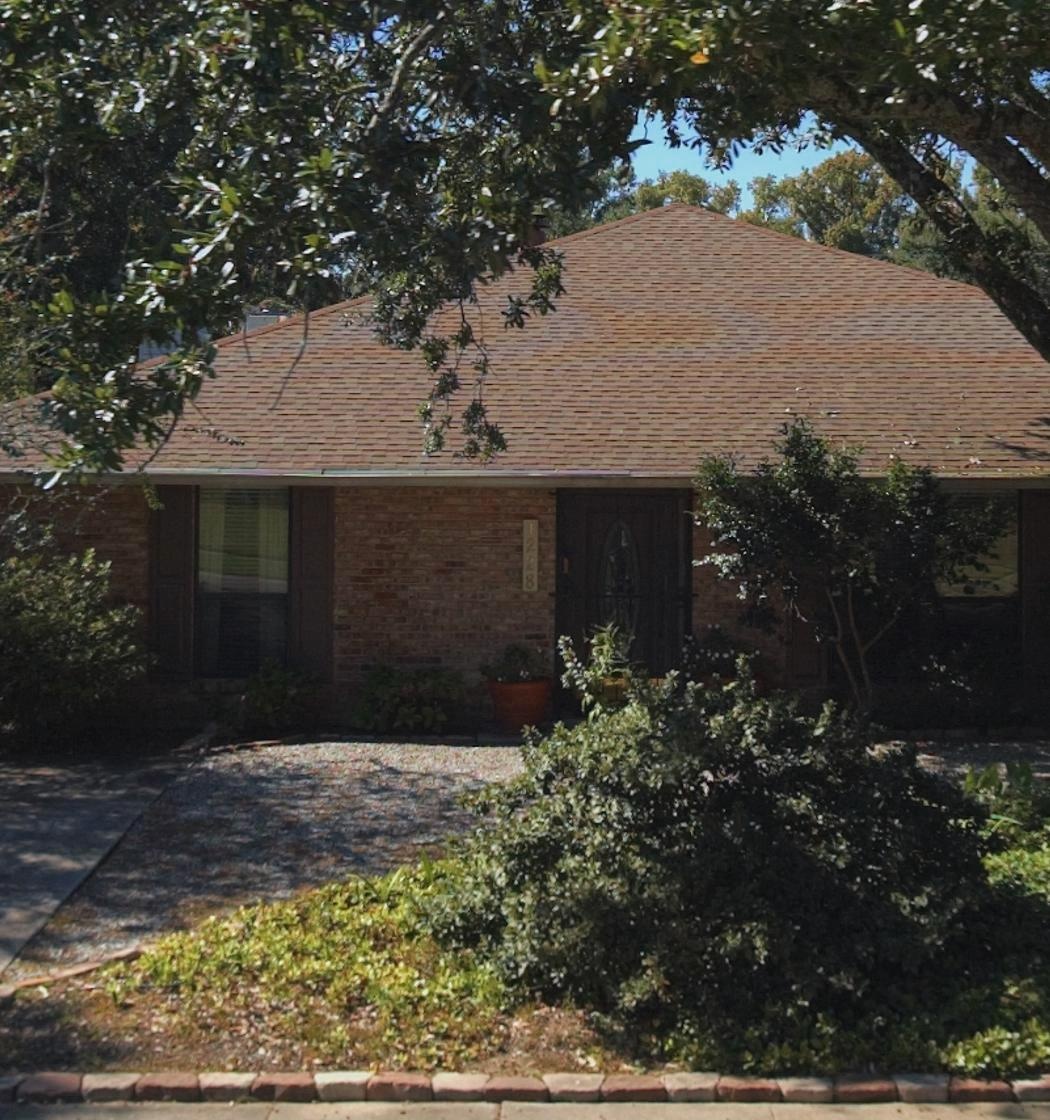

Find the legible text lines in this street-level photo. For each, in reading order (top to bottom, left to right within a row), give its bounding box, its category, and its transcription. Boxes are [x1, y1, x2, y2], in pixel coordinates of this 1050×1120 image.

[524, 521, 537, 591] StreetNumber: 1228